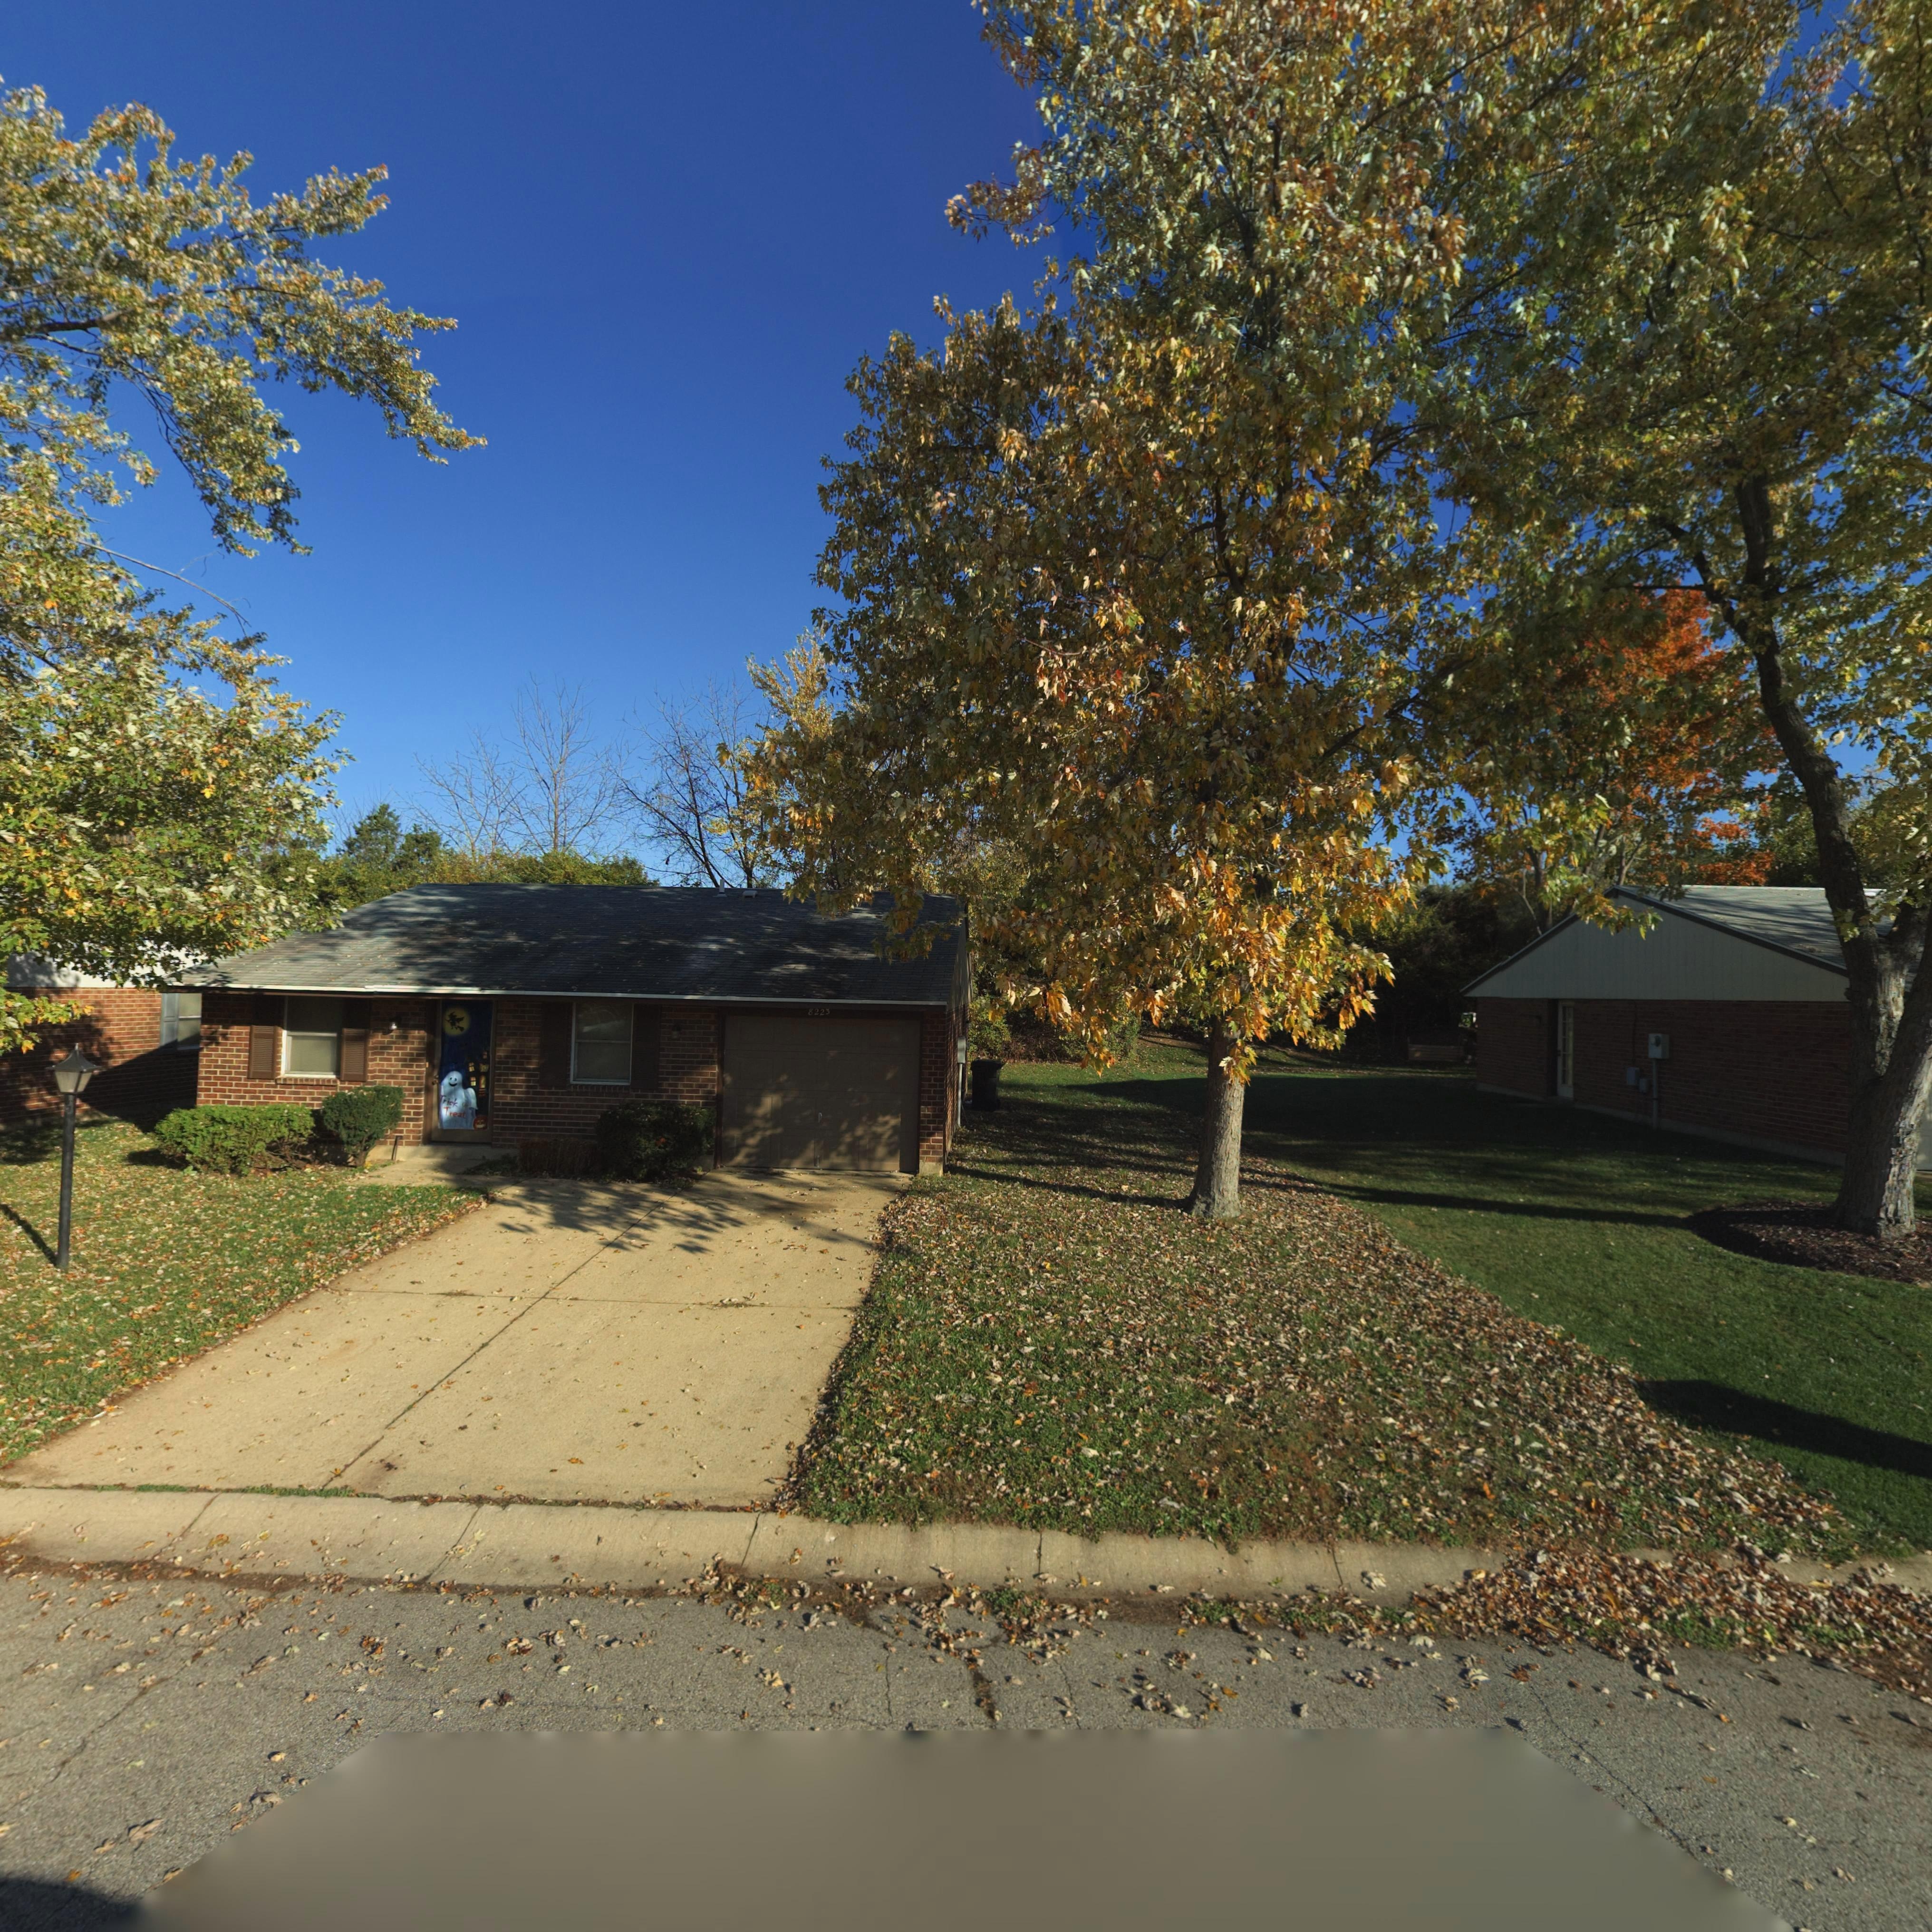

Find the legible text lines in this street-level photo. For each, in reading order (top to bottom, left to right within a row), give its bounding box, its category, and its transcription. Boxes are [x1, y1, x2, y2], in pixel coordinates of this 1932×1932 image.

[807, 1008, 831, 1015] StreetNumber: 8223